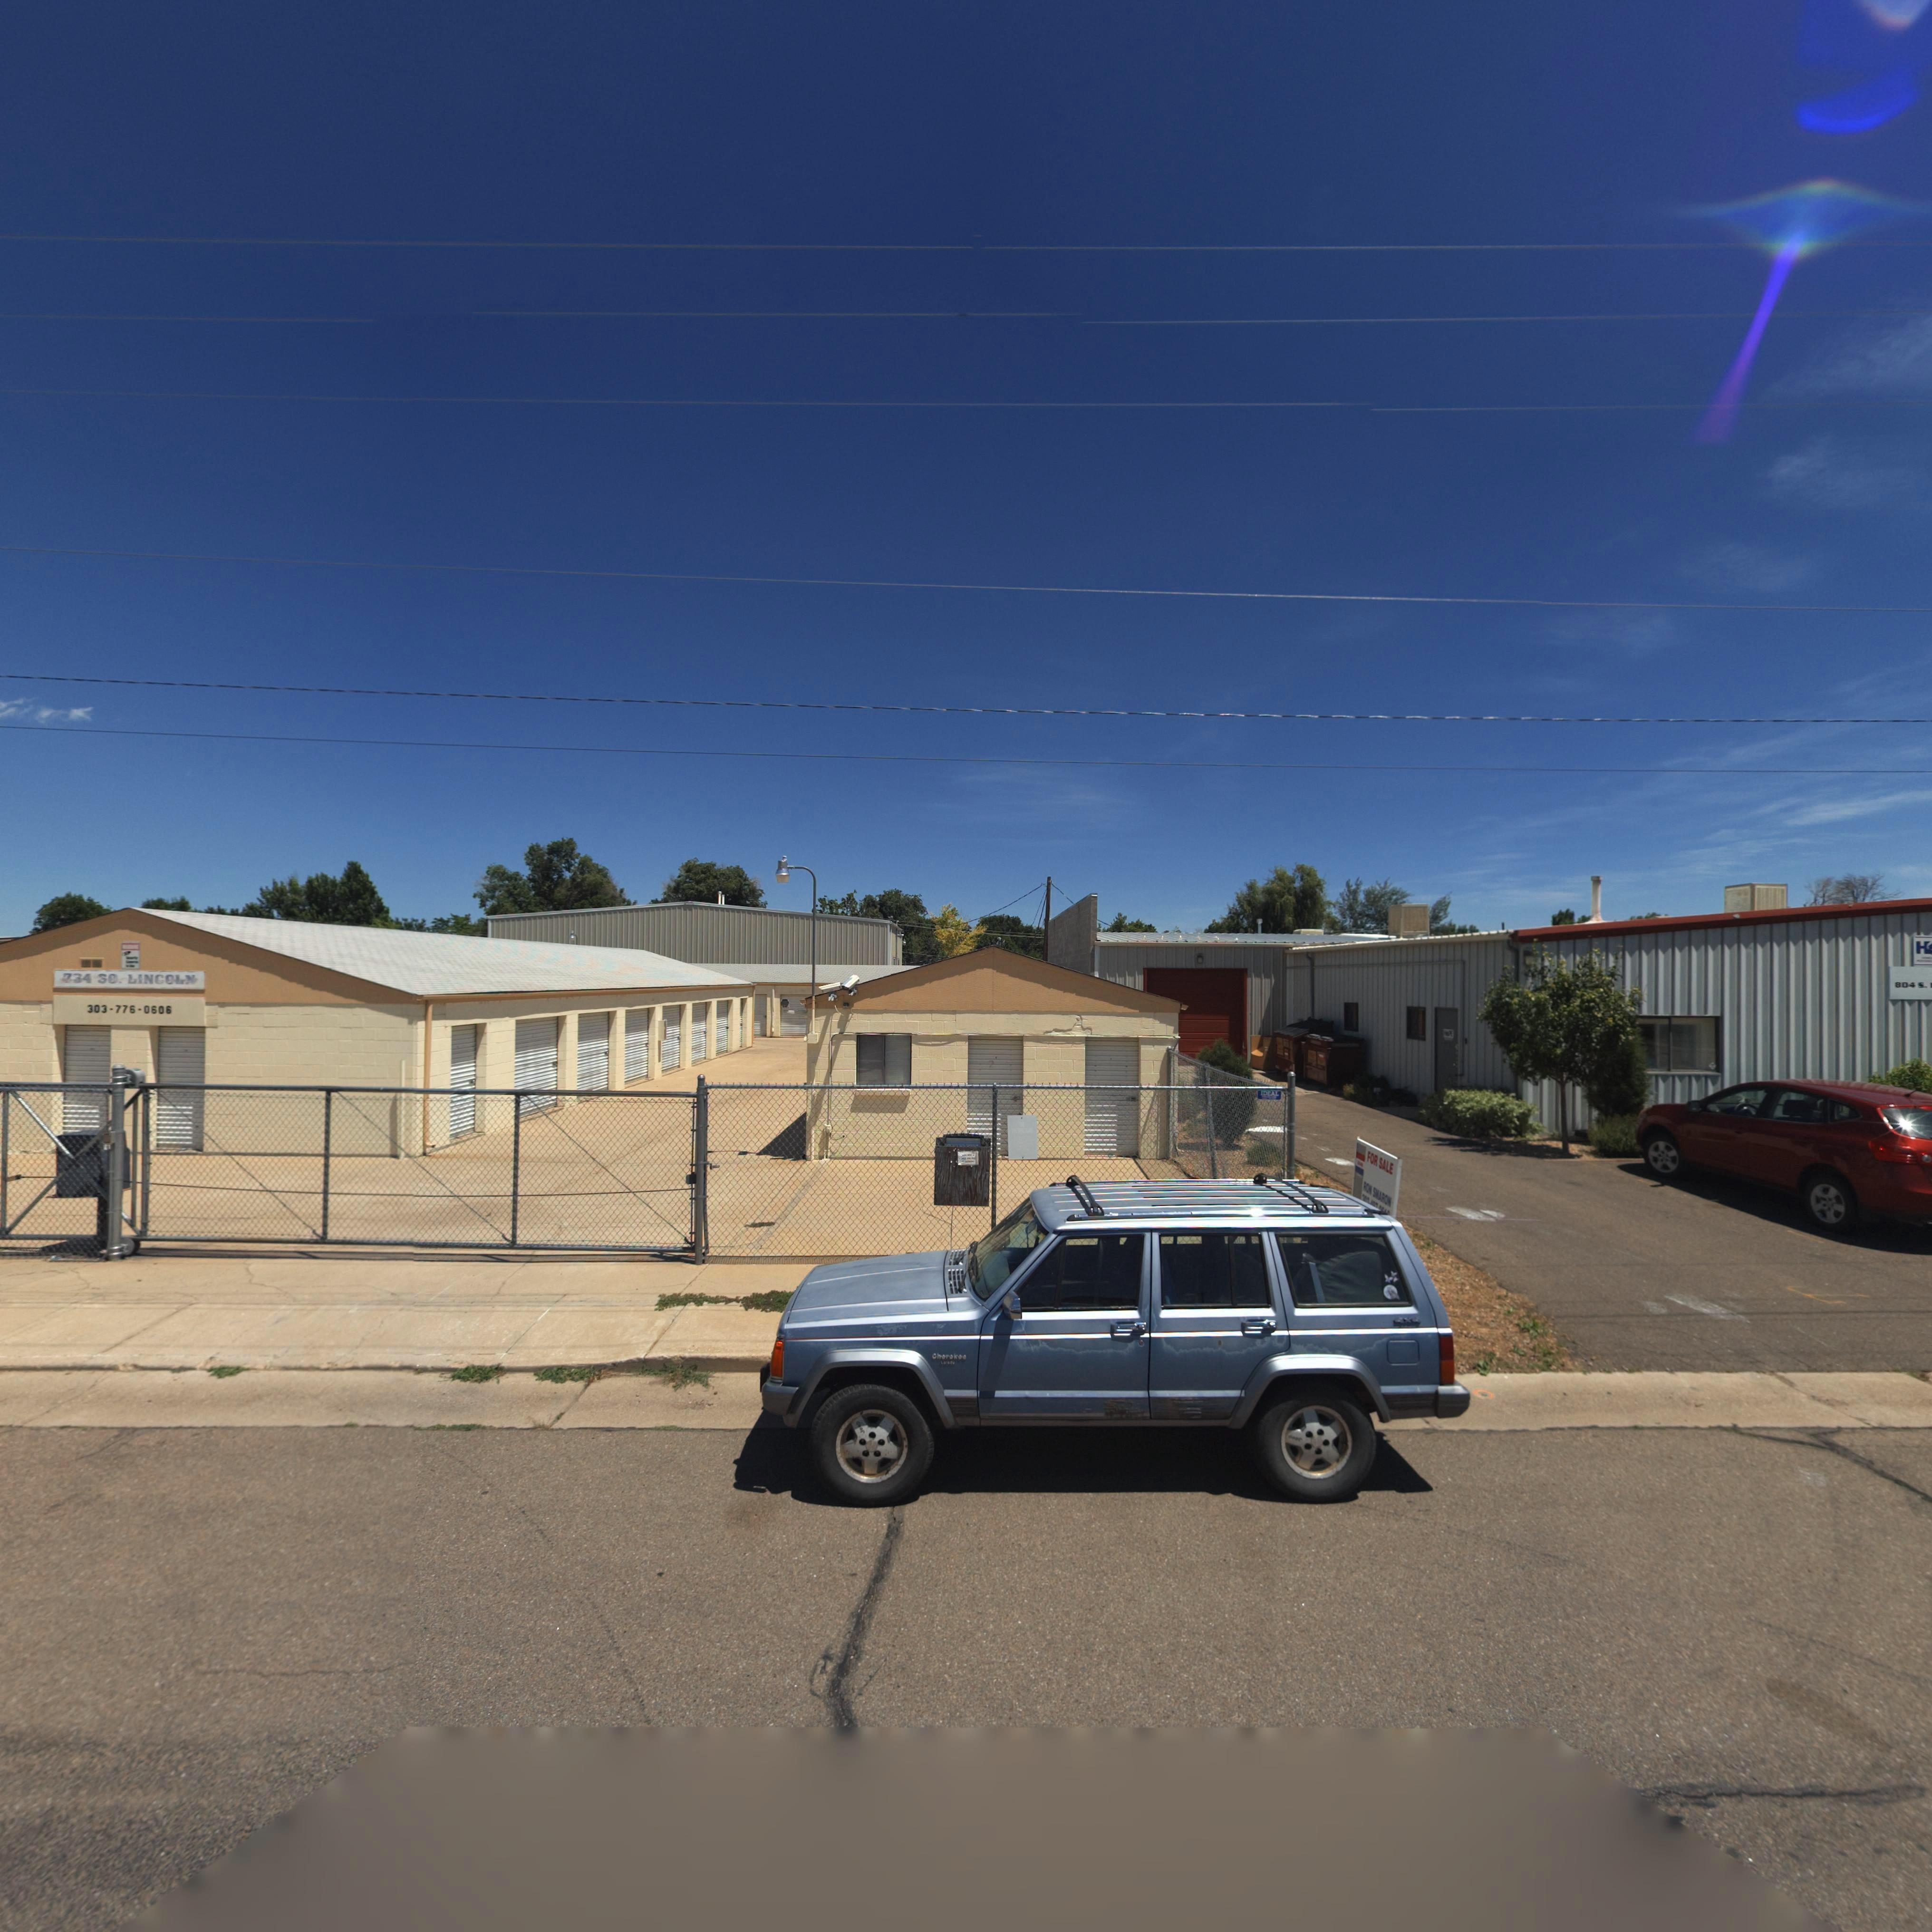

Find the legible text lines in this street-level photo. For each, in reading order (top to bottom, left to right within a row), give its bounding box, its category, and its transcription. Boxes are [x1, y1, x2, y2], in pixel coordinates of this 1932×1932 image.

[1915, 940, 1930, 954] BusinessName: H
[63, 972, 92, 984] StreetNumber: 734
[97, 973, 195, 985] StreetName: SO. LINCOLN
[1895, 981, 1916, 987] StreetNumber: 804
[1918, 981, 1928, 988] StreetName: S.
[1443, 1029, 1453, 1037] BusinessName: ***E